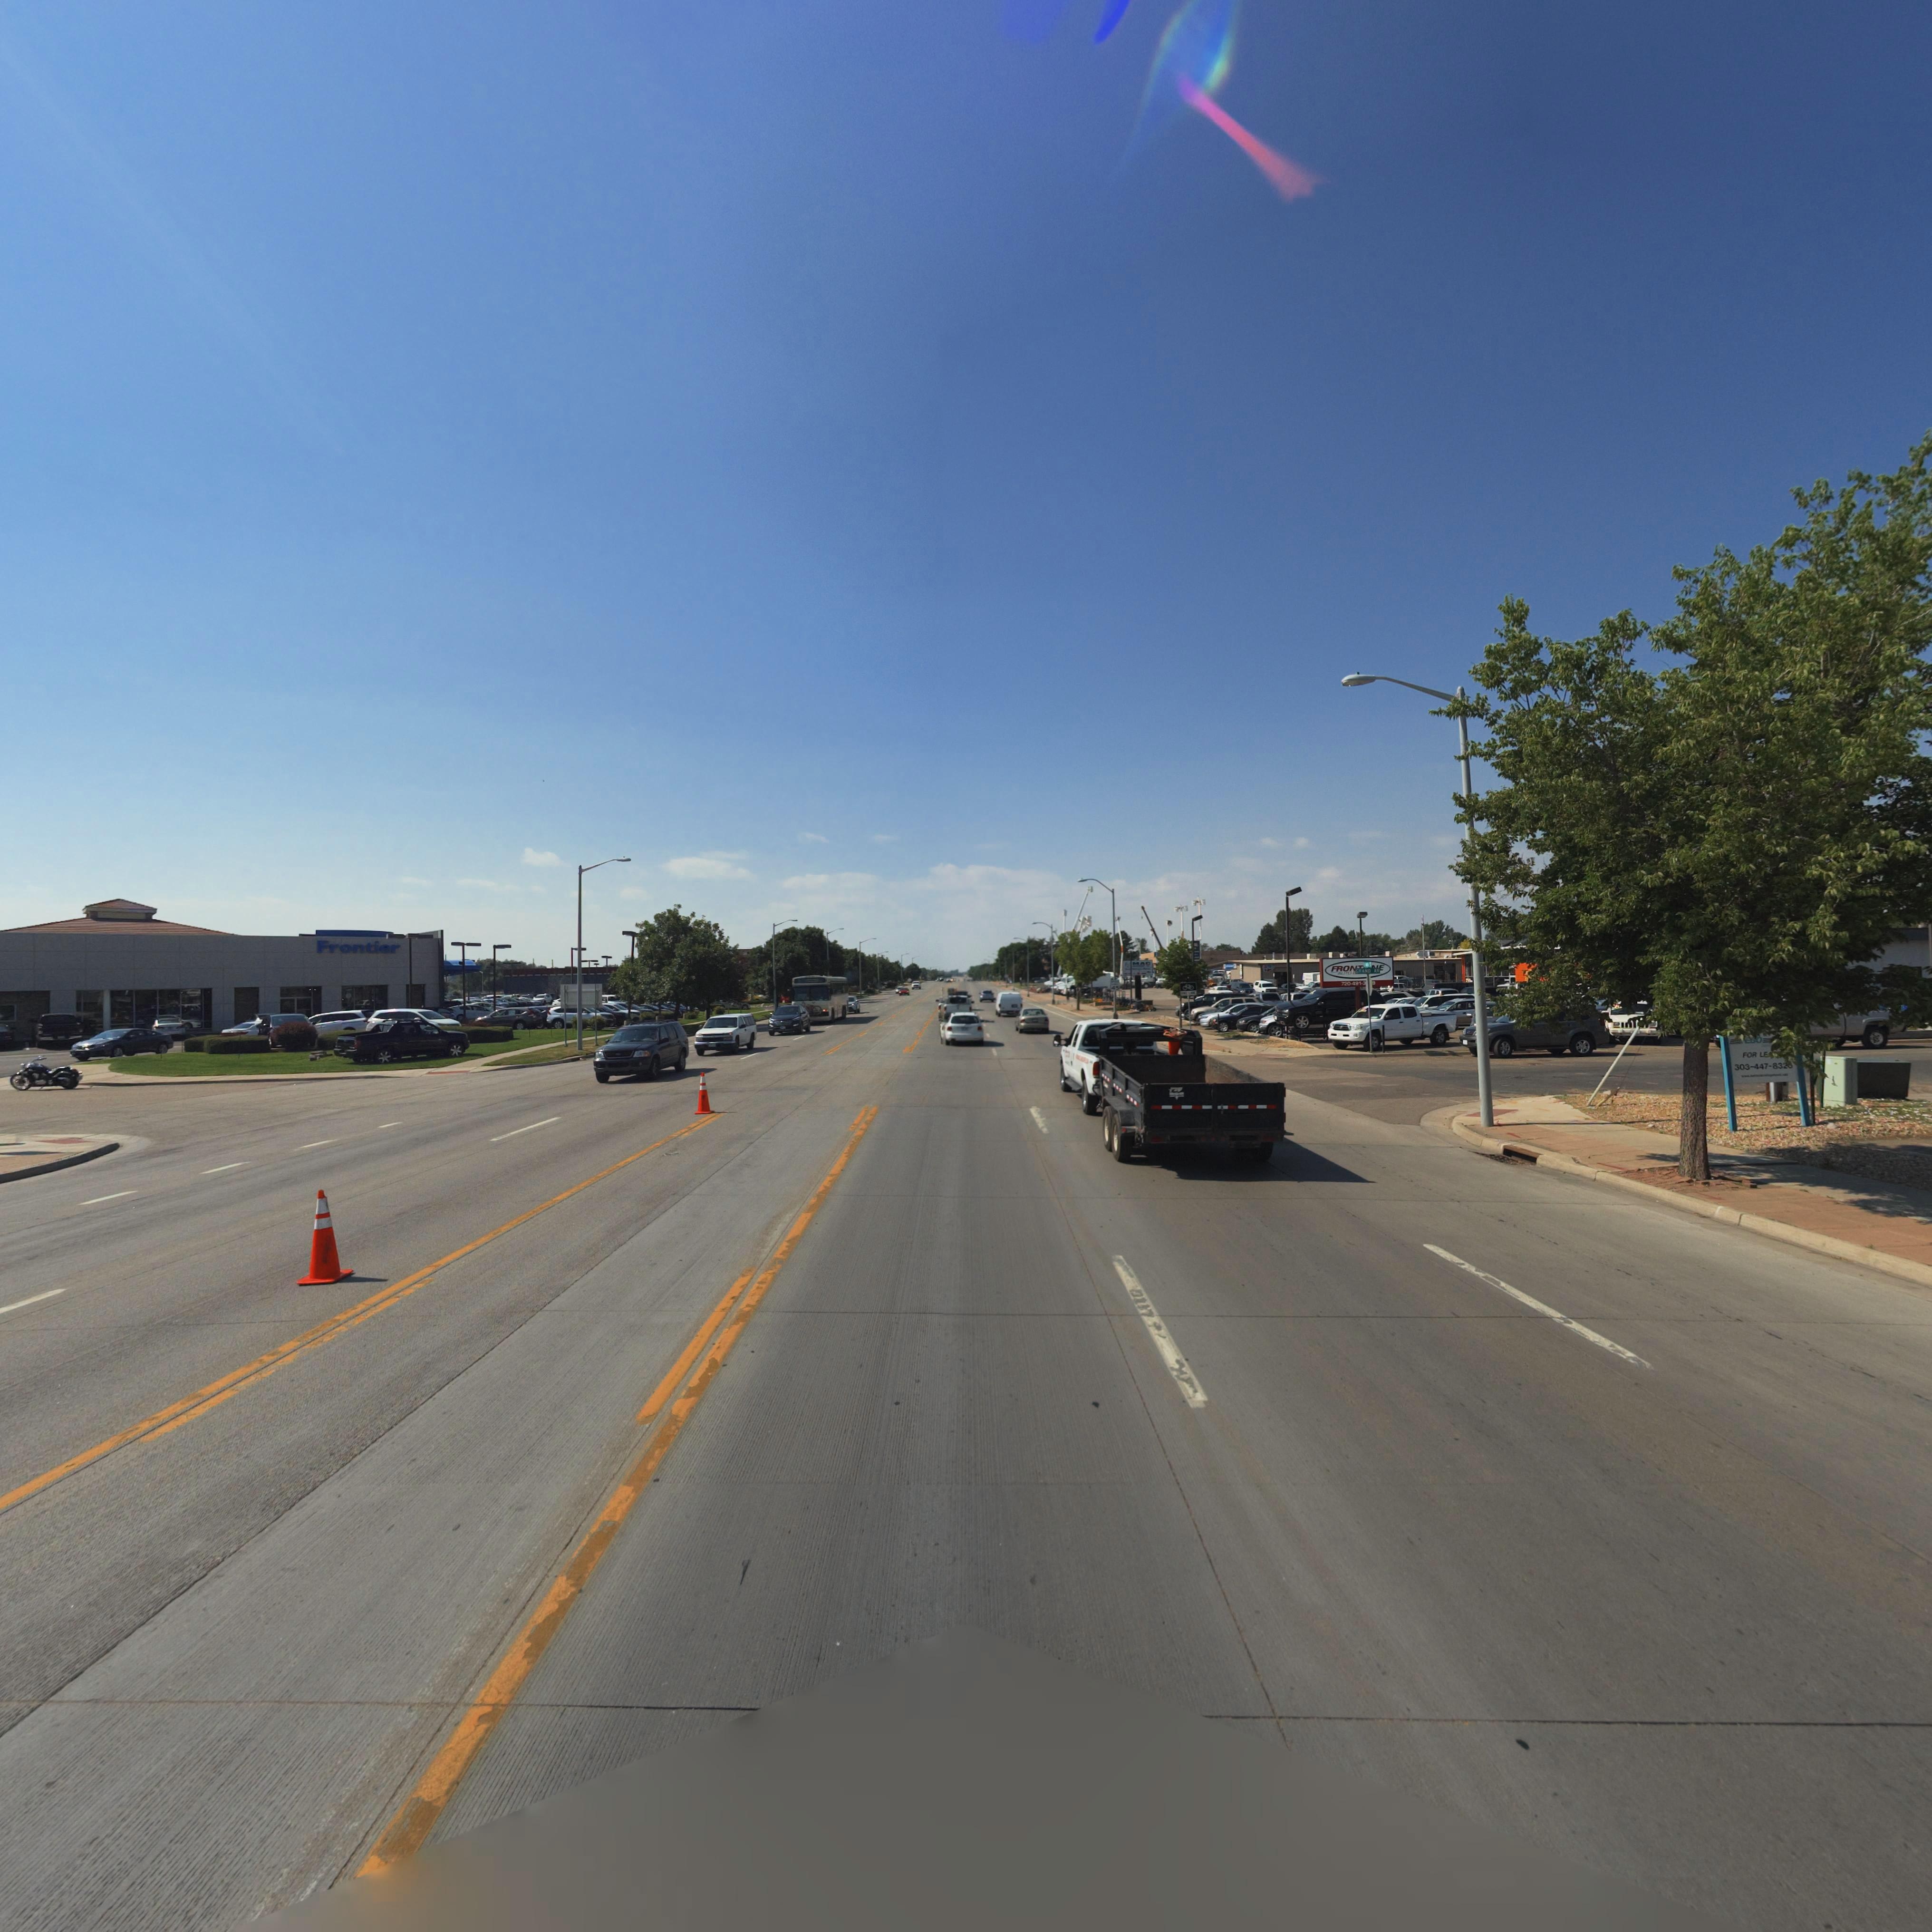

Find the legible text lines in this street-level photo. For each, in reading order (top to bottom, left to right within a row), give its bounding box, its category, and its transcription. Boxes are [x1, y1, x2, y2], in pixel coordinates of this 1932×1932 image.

[316, 940, 402, 954] BusinessName: Frontier
[1132, 961, 1151, 965] BusinessName: MAC
[1337, 971, 1352, 975] BusinessName: AUTO
[1330, 964, 1385, 972] BusinessName: FRON****E
[1355, 968, 1380, 973] StreetName: GRAND AV